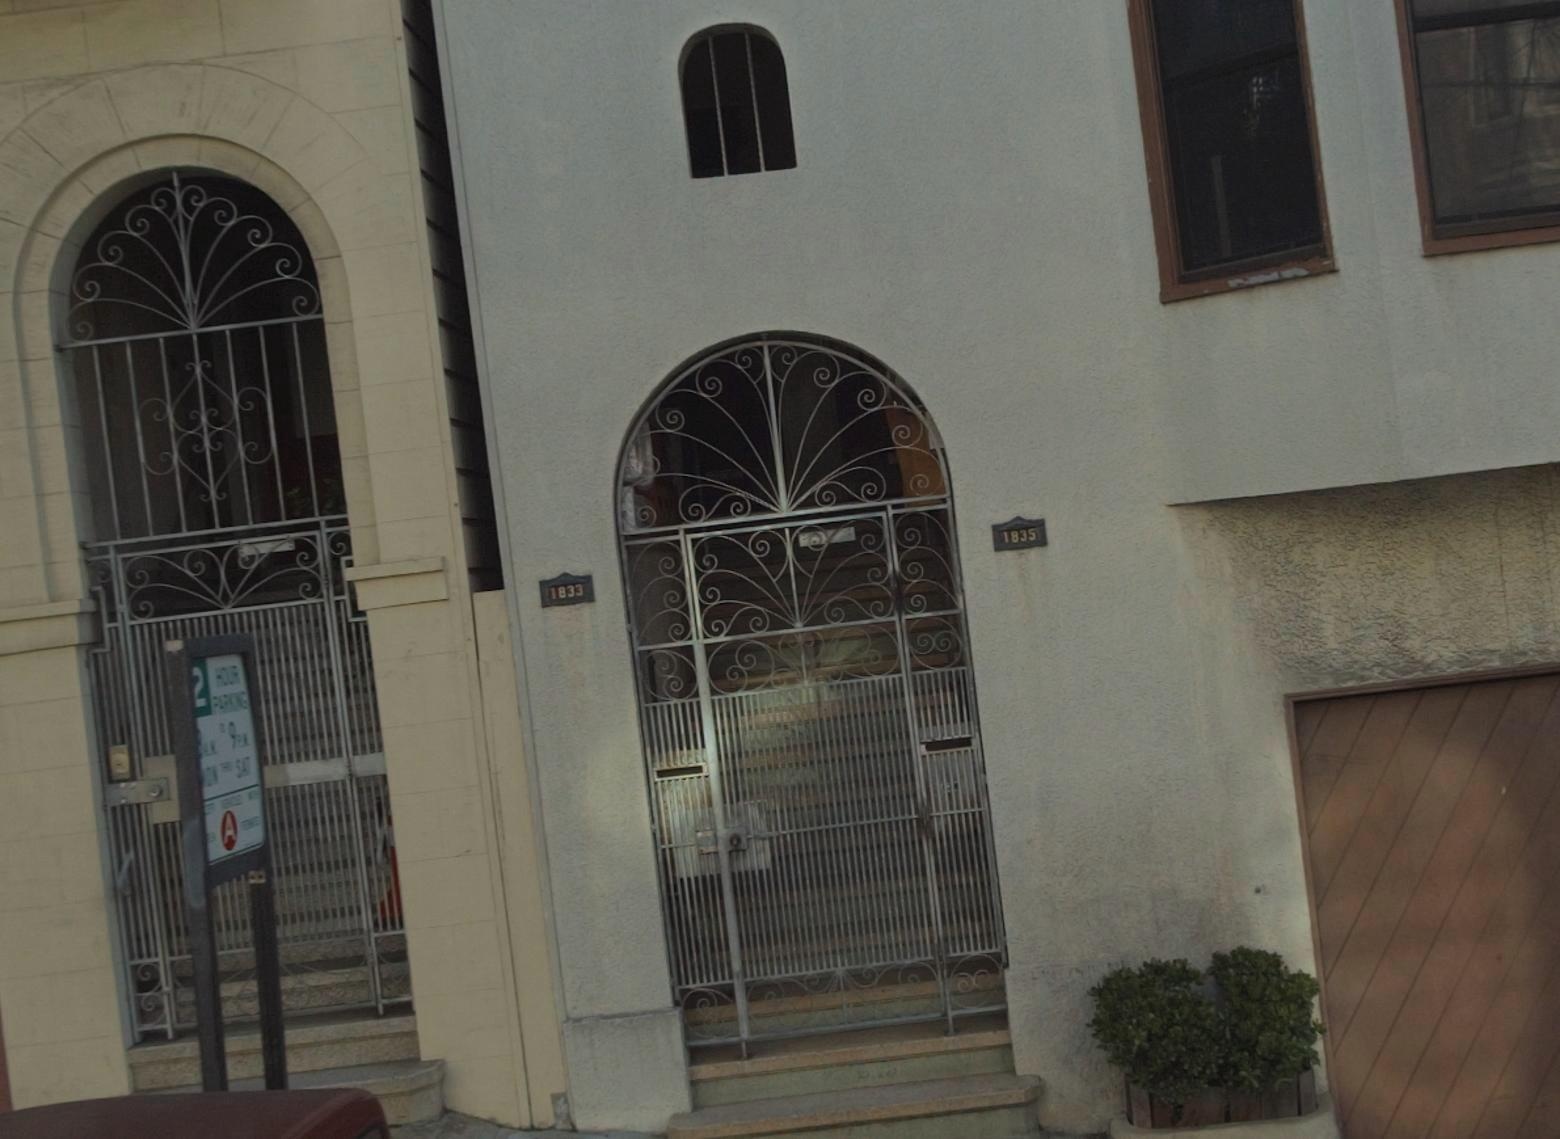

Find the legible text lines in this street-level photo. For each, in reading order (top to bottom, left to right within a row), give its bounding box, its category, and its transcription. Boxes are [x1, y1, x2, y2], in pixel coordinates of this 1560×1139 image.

[1001, 525, 1040, 547] StreetNumber: 1835
[547, 579, 585, 603] StreetNumber: 1833
[211, 660, 244, 691] None: HOUR
[209, 688, 252, 719] None: PARKING
[224, 718, 254, 753] None: 9PM
[233, 753, 255, 780] None: SAT
[221, 810, 239, 846] None: A